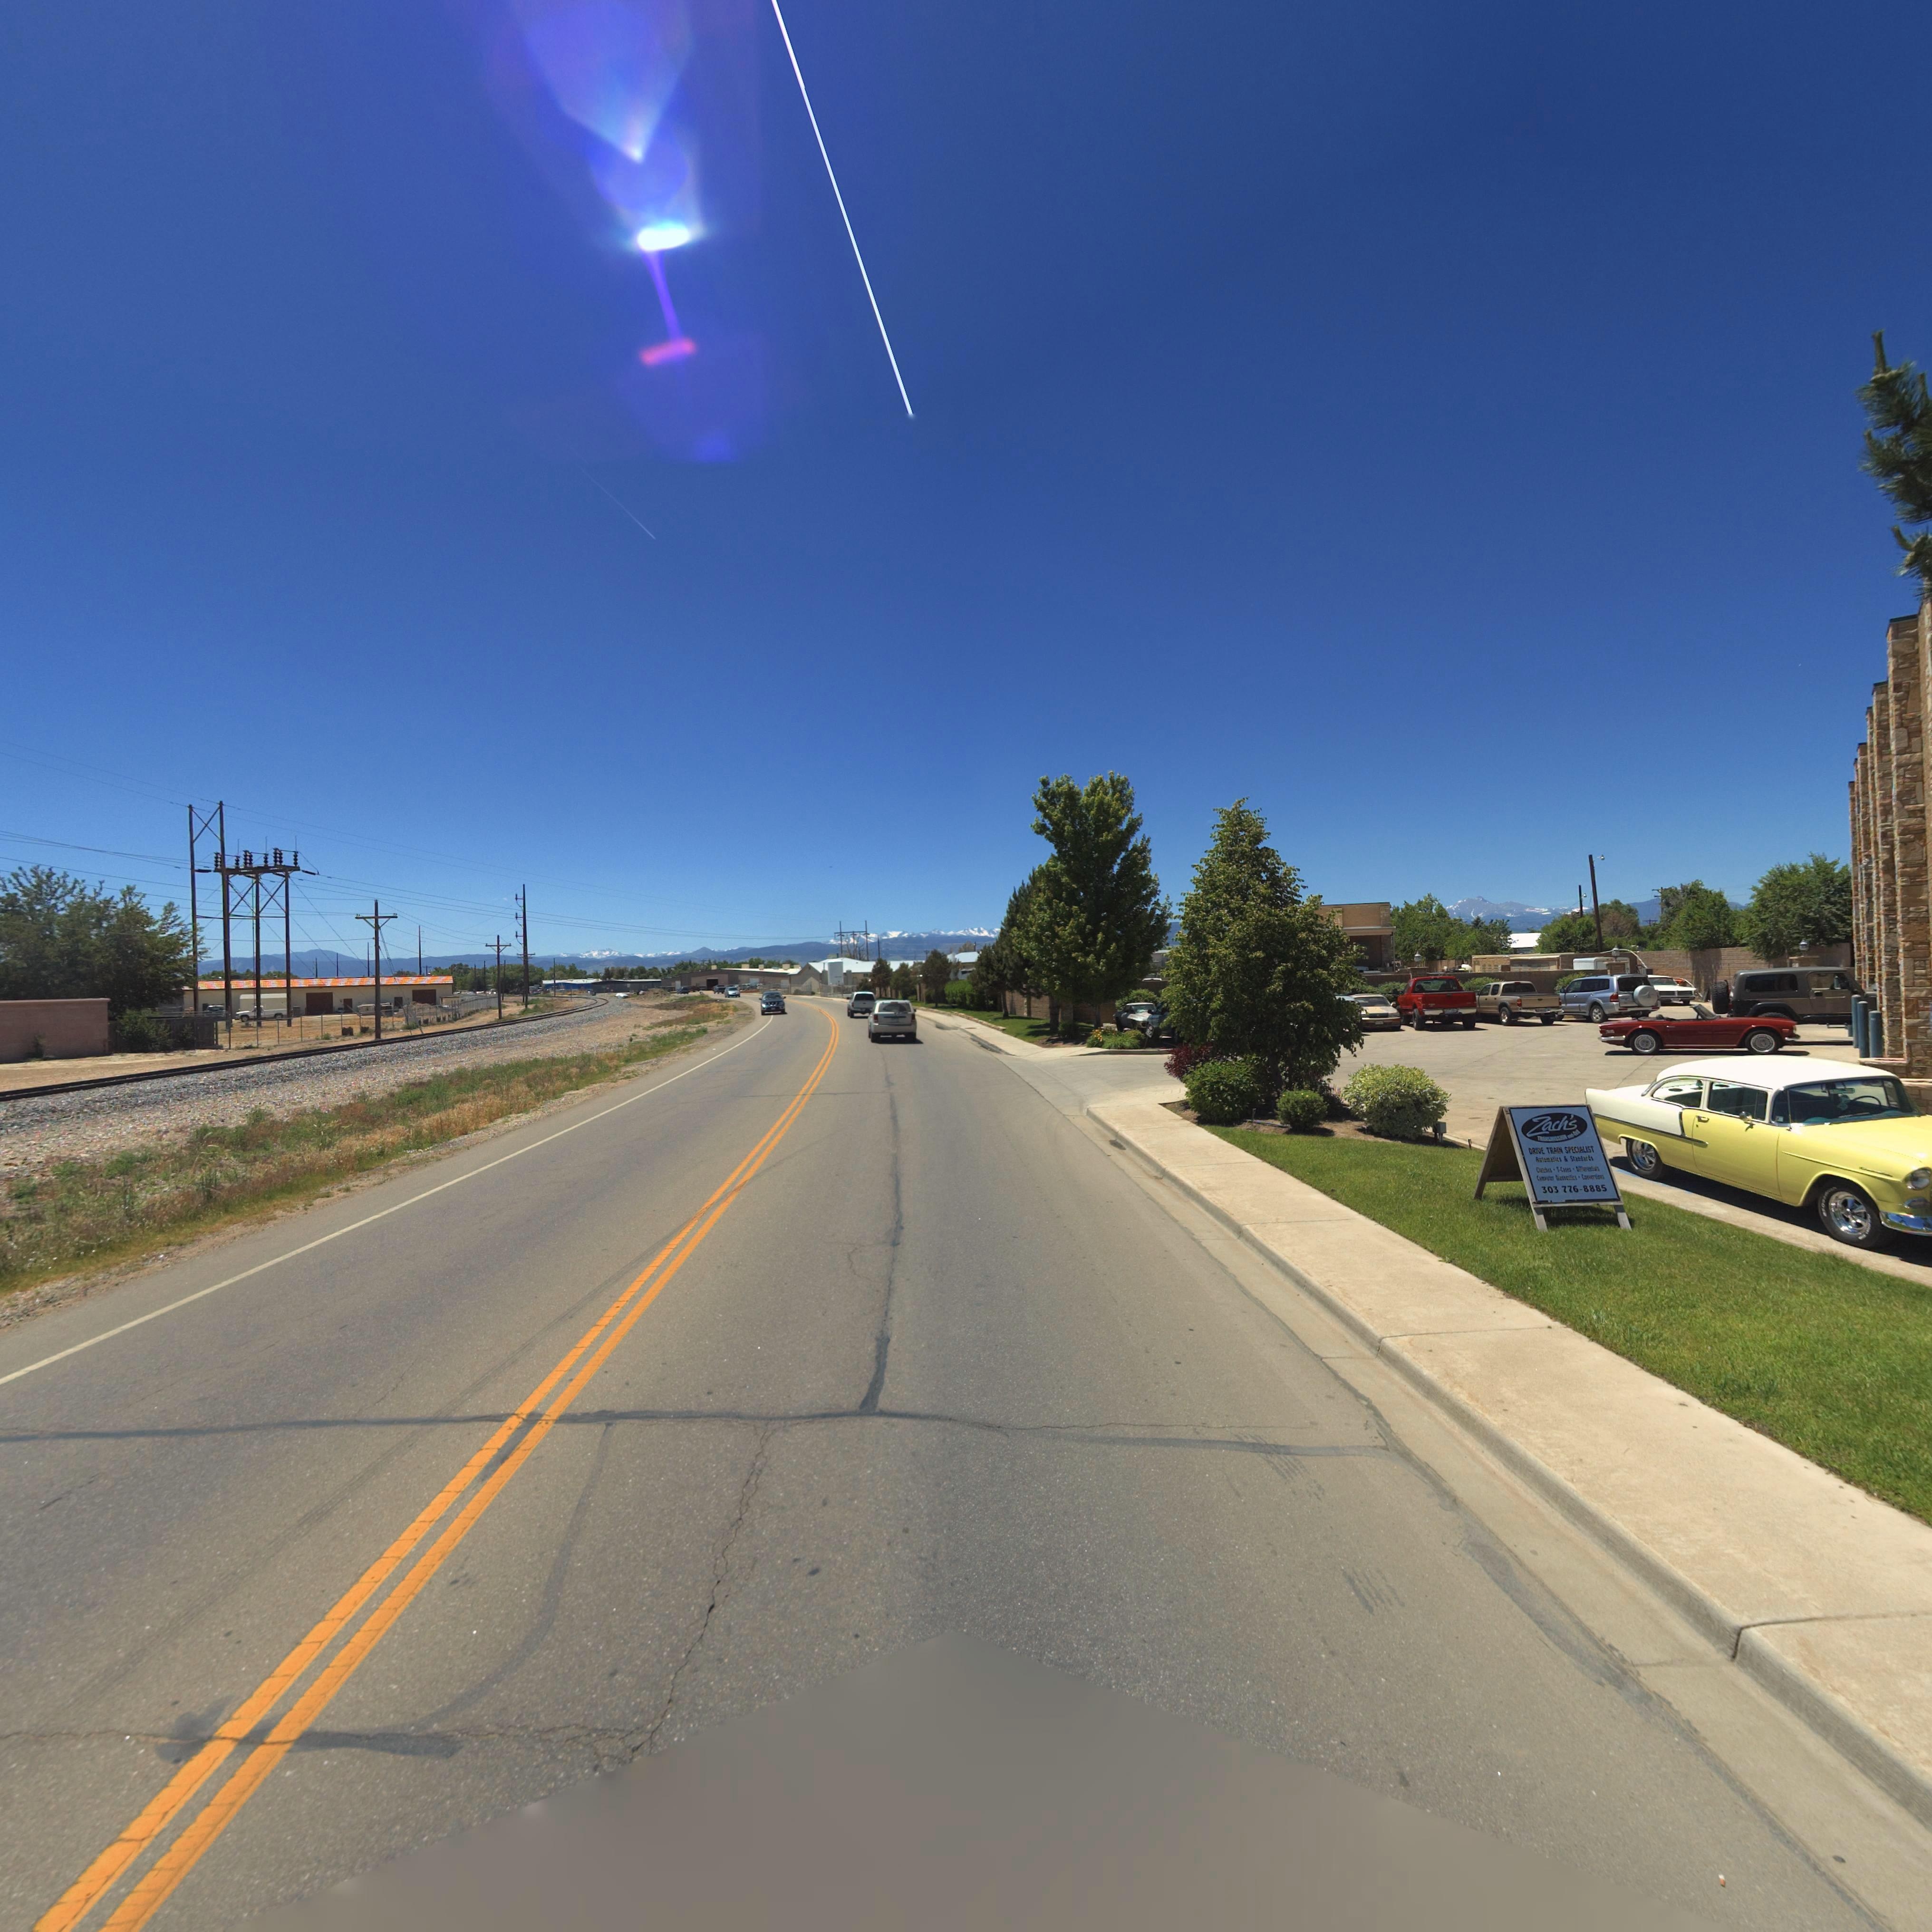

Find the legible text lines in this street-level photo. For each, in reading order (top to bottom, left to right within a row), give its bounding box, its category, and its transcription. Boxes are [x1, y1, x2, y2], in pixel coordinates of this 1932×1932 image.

[1525, 1113, 1577, 1138] BusinessName: Zach's
[1537, 1129, 1581, 1141] BusinessName: TRANSMISSION and 4x4